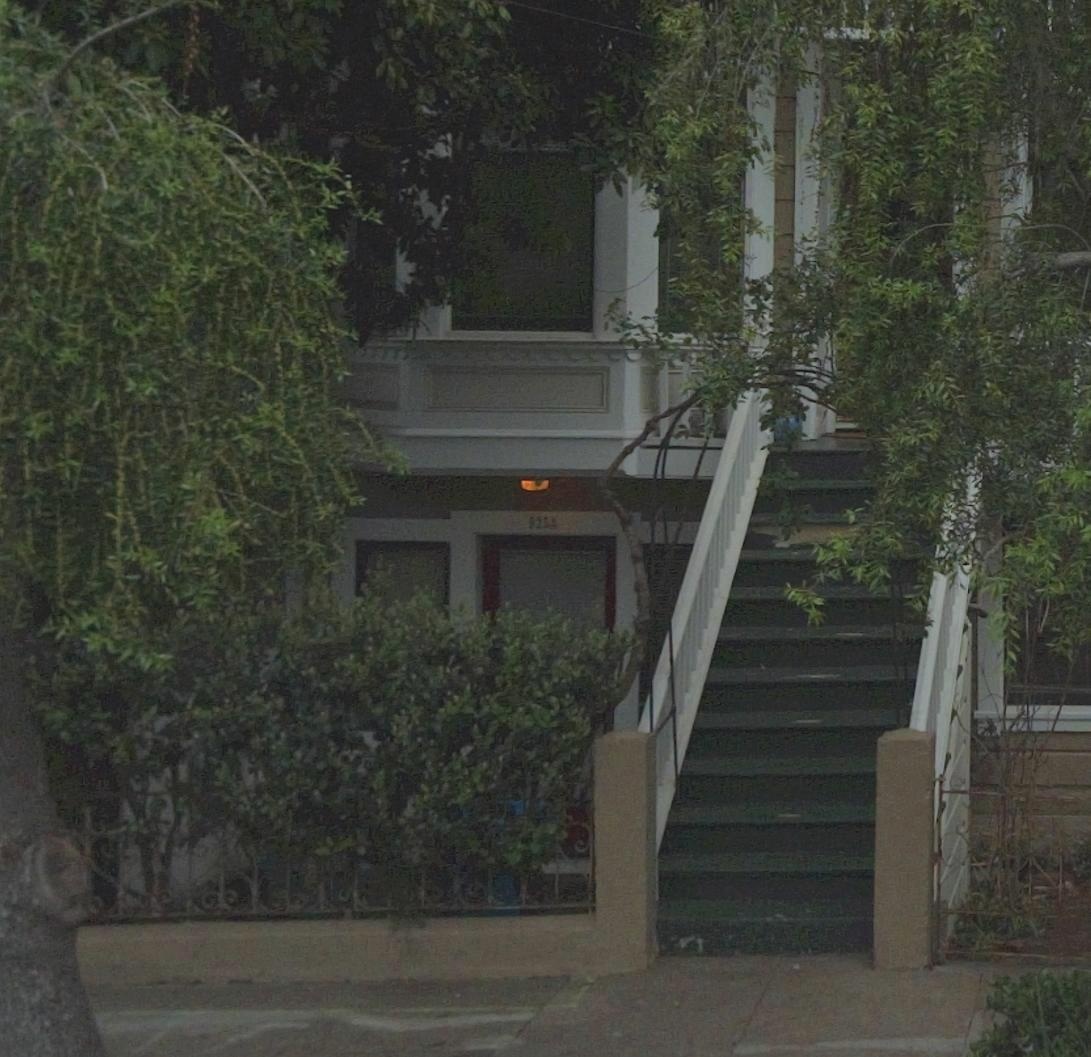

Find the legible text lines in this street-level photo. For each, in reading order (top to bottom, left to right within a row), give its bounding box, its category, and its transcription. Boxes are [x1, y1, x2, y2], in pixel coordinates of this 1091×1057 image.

[527, 516, 558, 531] StreetNumber: 925A